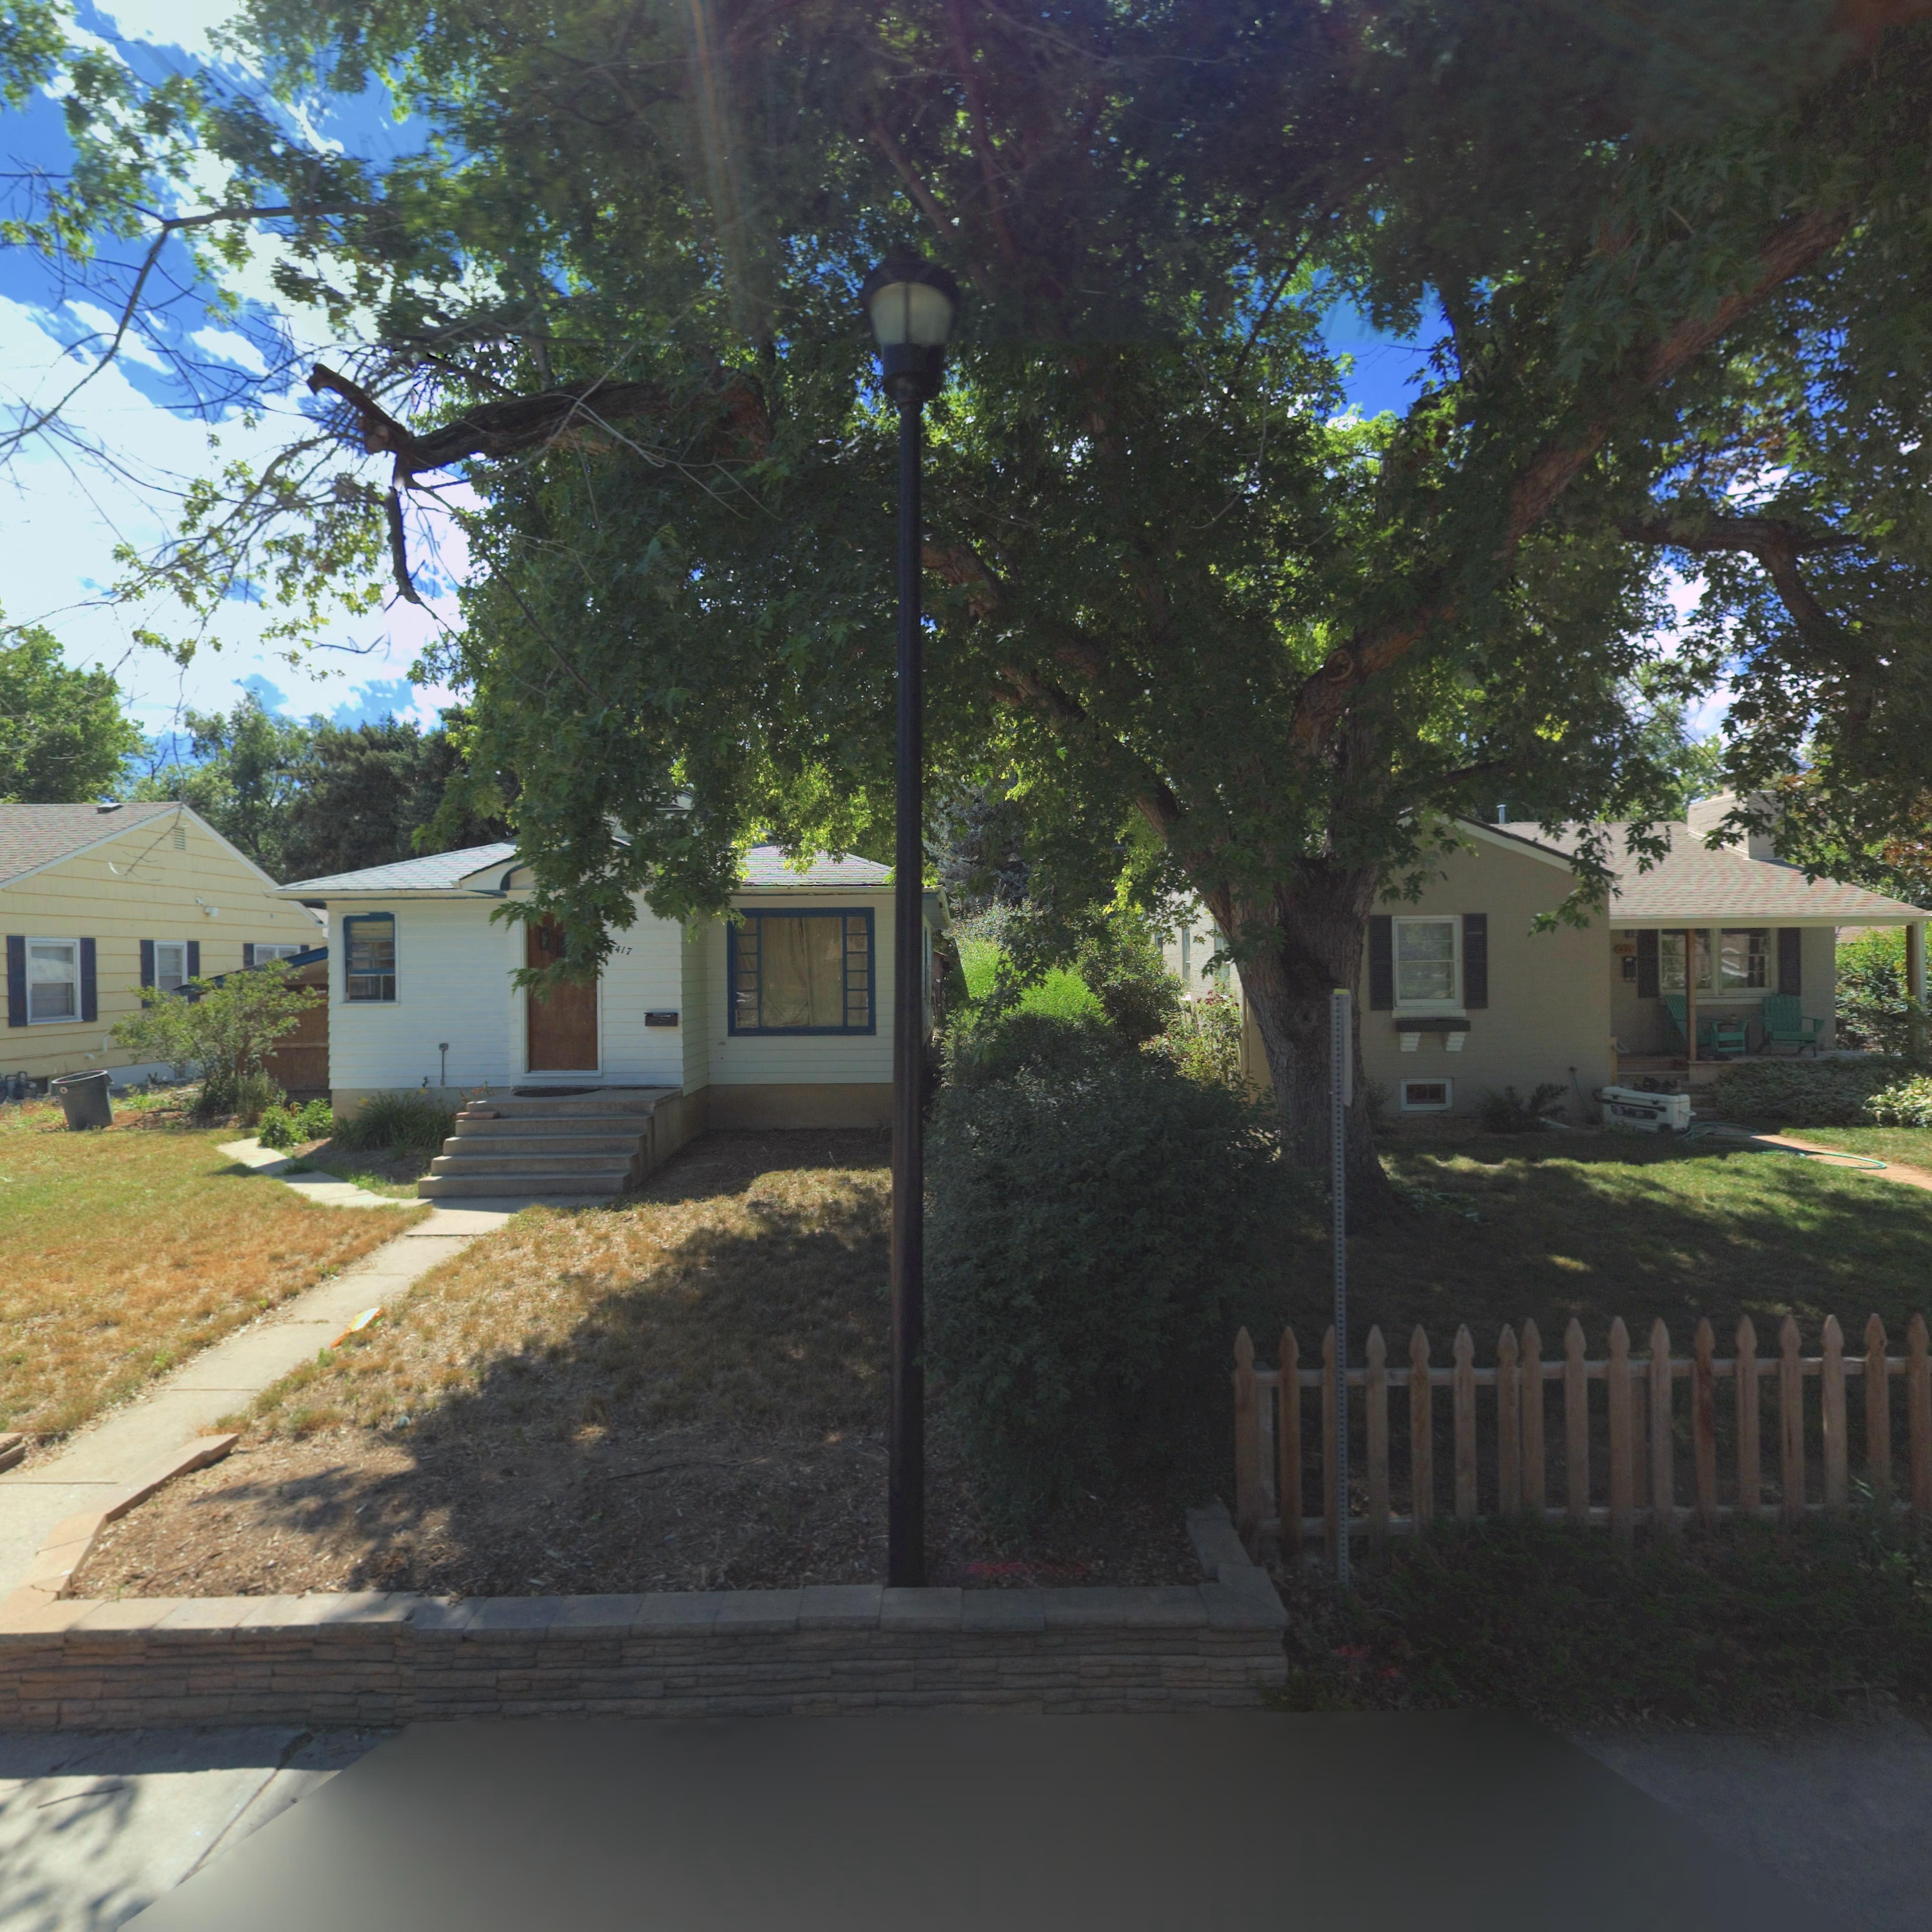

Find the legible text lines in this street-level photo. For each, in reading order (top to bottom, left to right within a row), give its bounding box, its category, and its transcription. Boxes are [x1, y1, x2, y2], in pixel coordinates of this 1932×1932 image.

[614, 945, 634, 956] StreetNumber: 417
[1617, 946, 1632, 953] StreetNumber: 42*